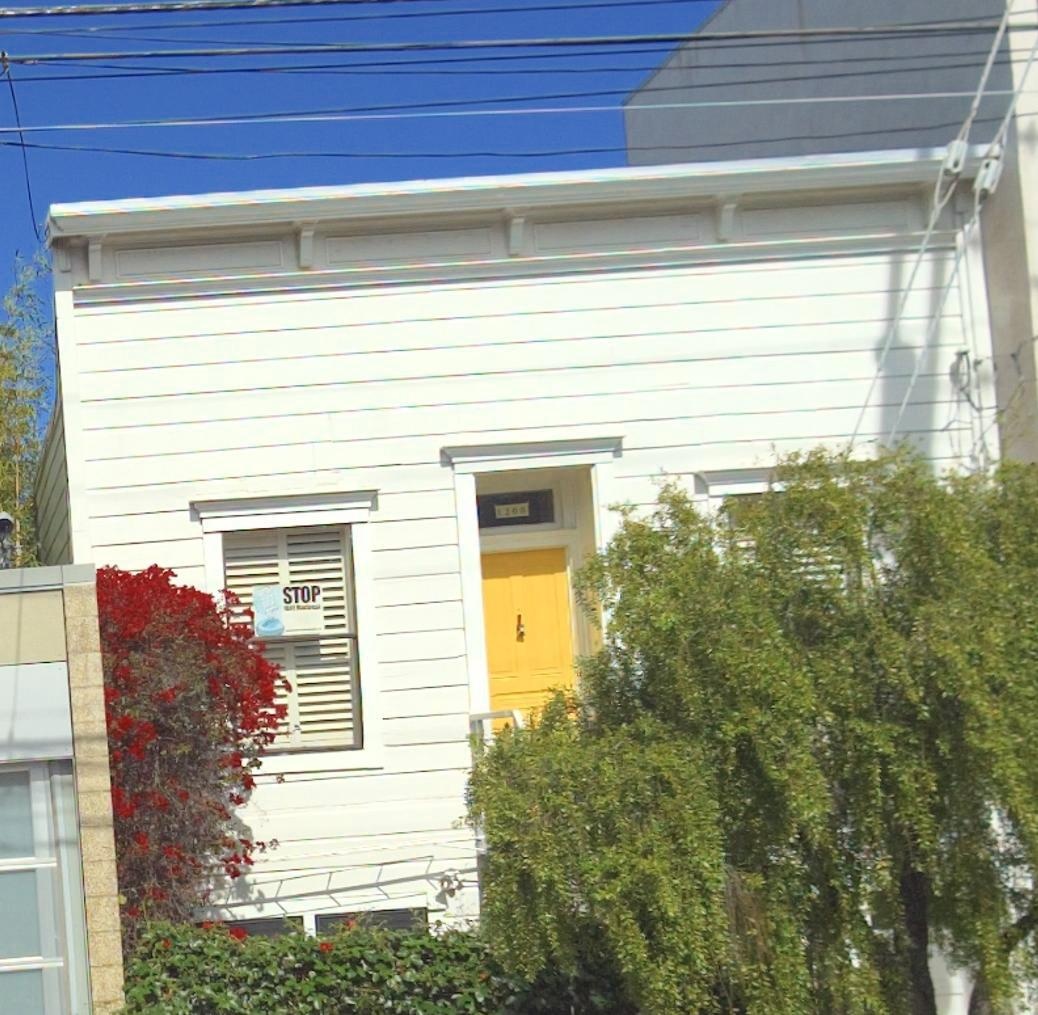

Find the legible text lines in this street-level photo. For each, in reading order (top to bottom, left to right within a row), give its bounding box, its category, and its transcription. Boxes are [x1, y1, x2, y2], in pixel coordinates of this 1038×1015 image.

[496, 506, 527, 518] StreetNumber: 1208
[281, 584, 322, 605] None: STOP